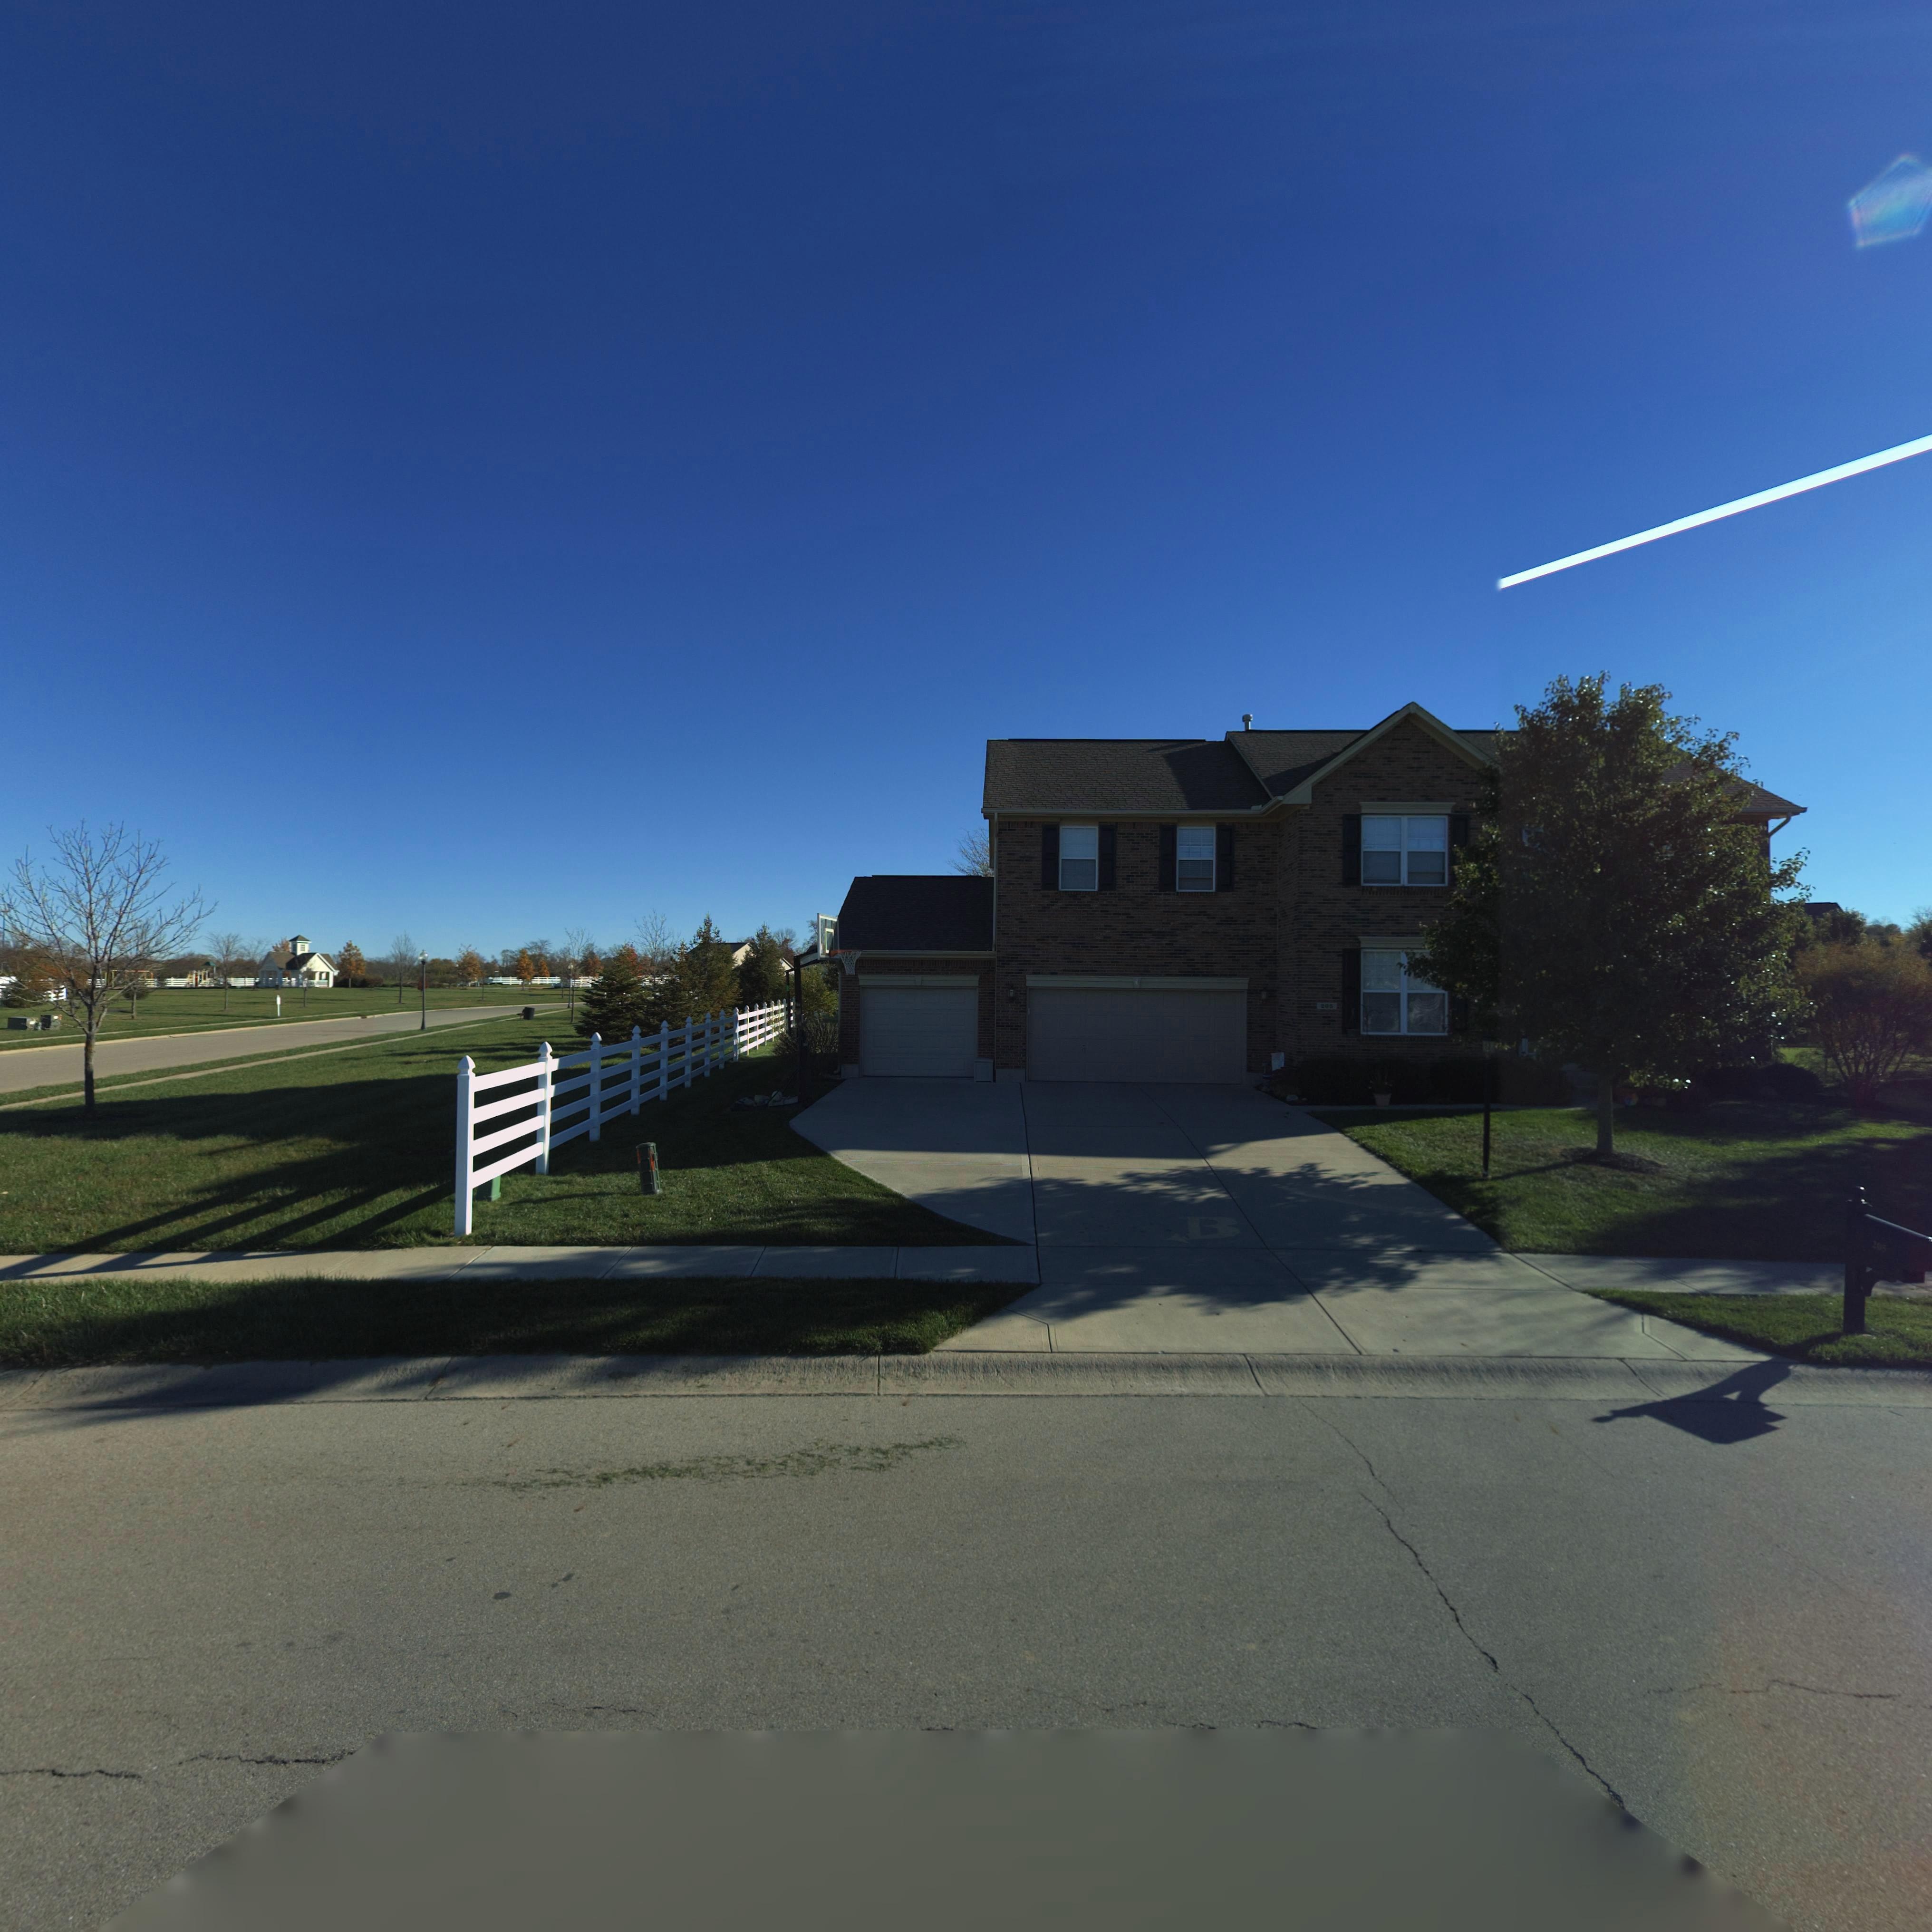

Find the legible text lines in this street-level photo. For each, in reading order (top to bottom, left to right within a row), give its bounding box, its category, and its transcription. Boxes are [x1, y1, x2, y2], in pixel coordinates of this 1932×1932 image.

[1319, 1003, 1334, 1009] StreetNumber: 205
[1871, 1239, 1889, 1255] StreetNumber: 205